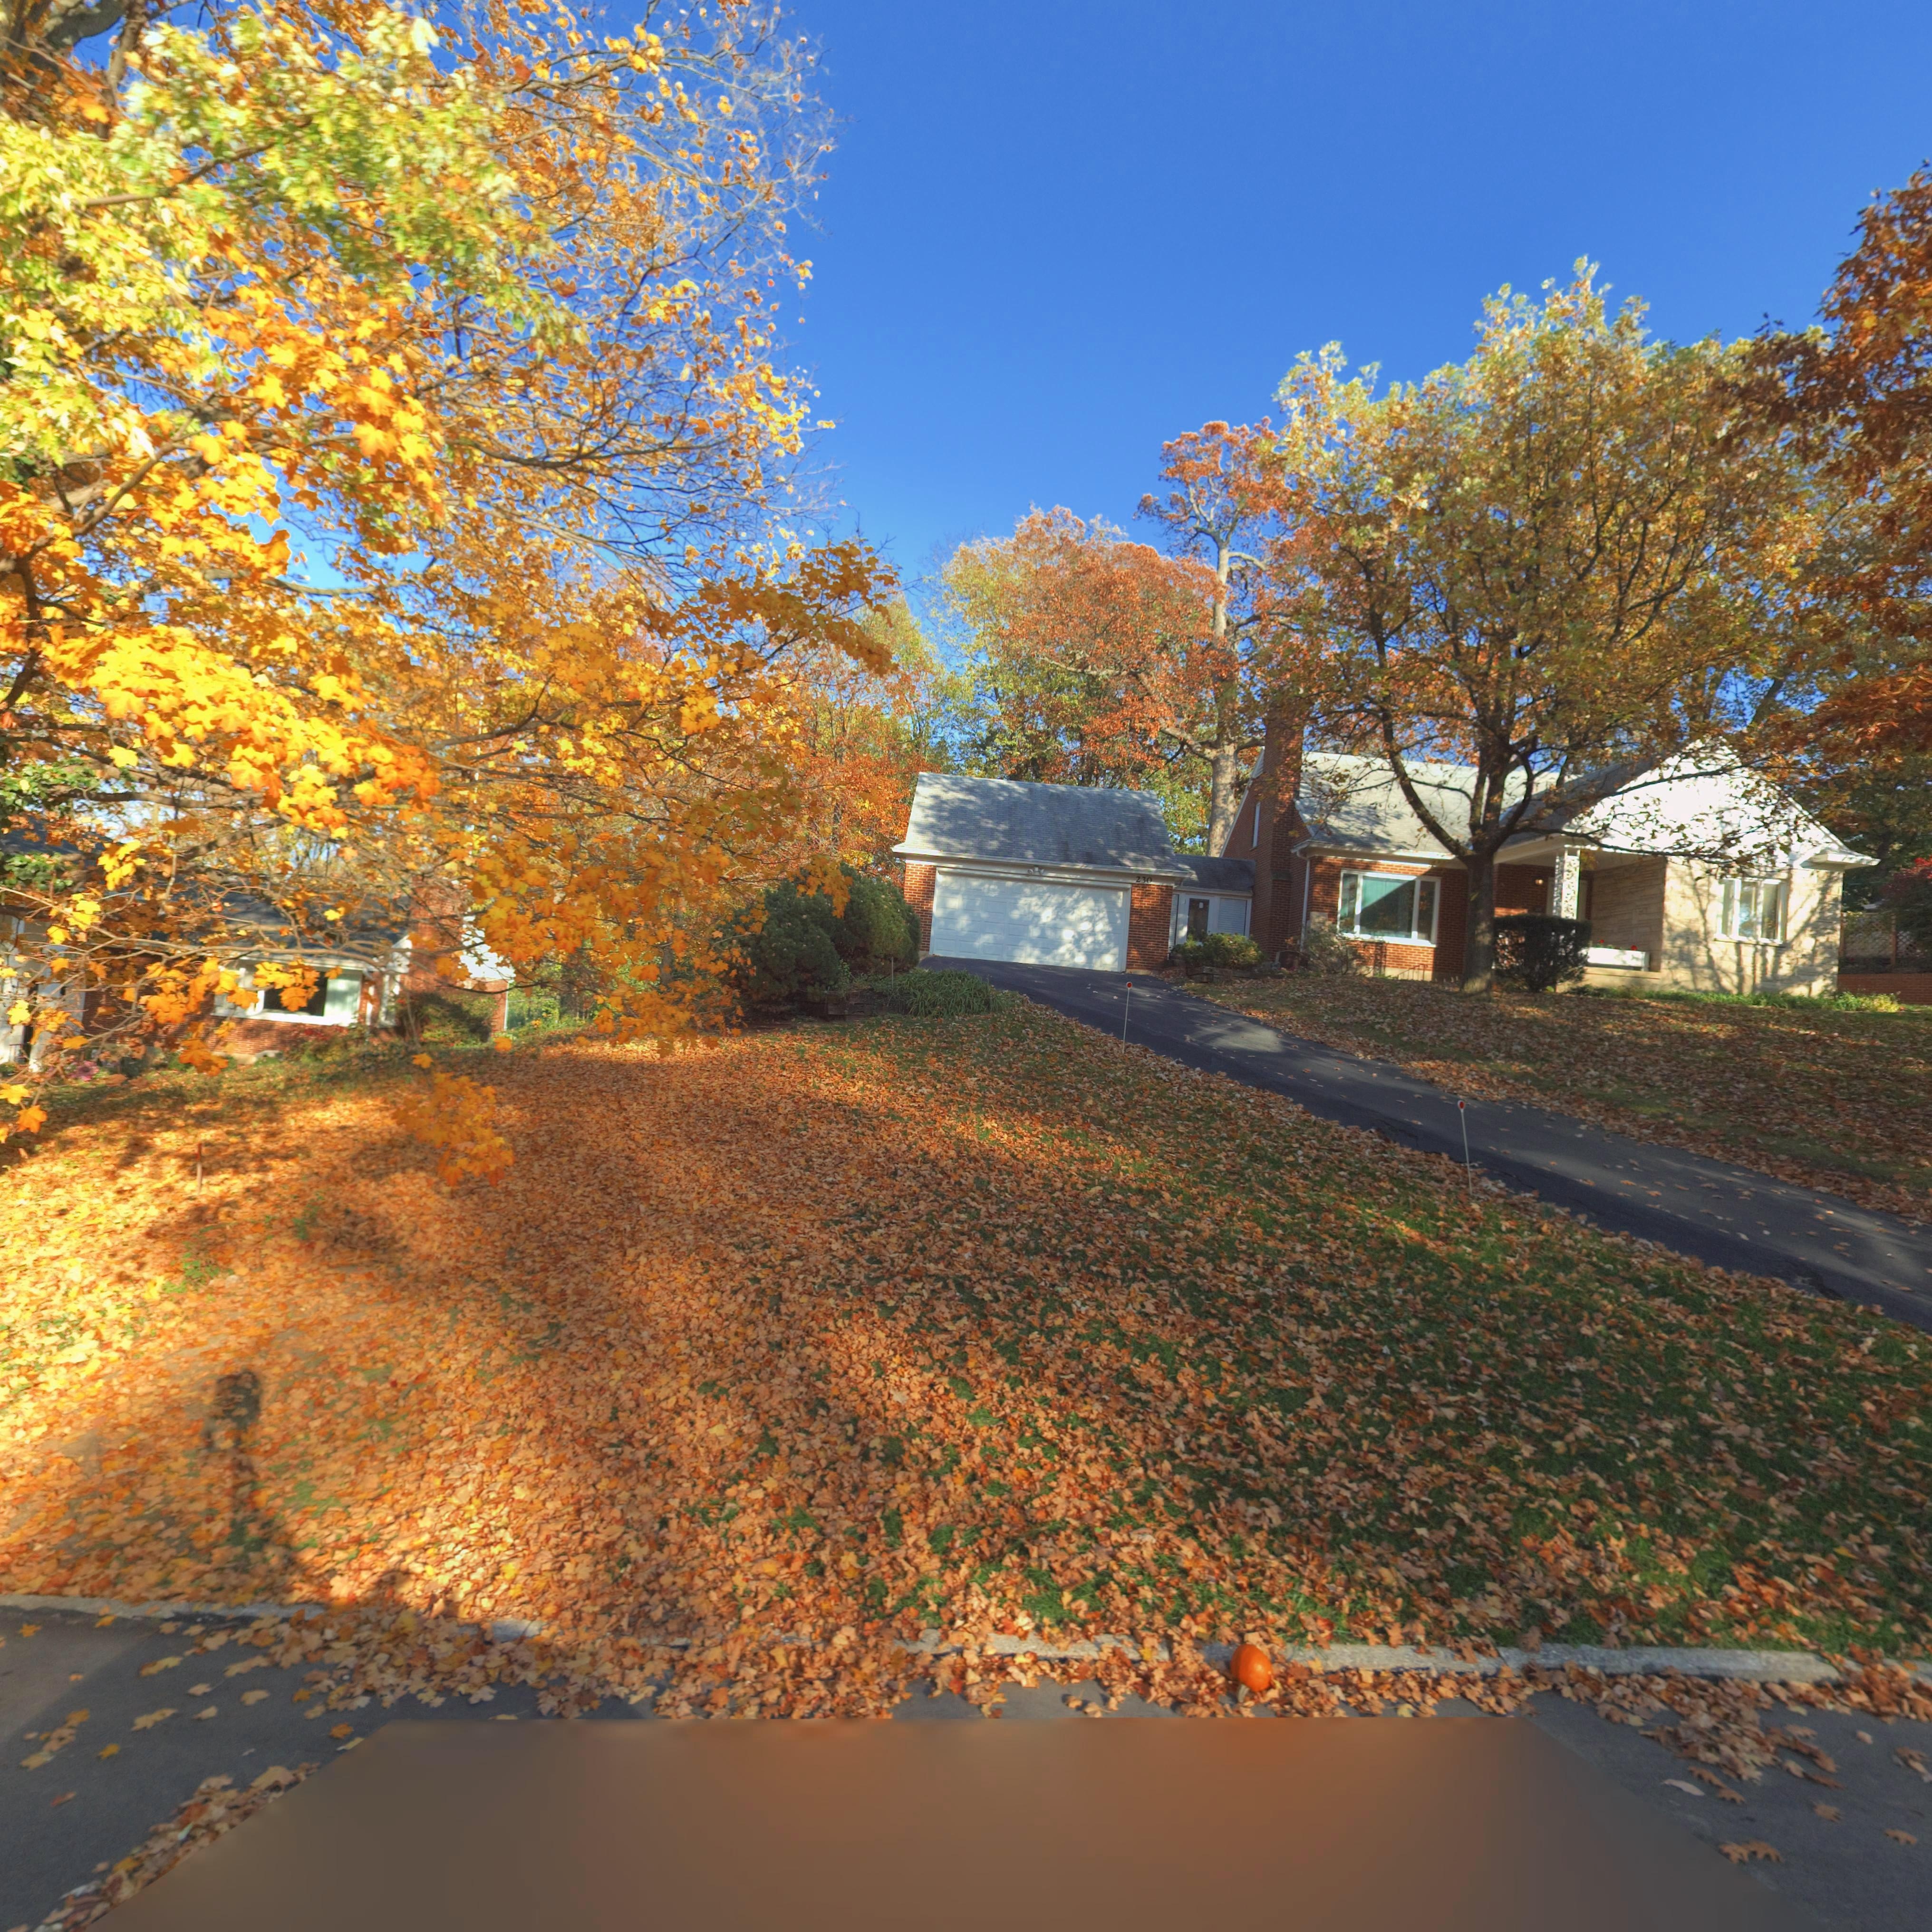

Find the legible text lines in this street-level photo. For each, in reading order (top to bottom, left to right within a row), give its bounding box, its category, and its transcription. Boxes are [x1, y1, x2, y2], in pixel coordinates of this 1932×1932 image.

[1135, 875, 1153, 885] StreetNumber: 230